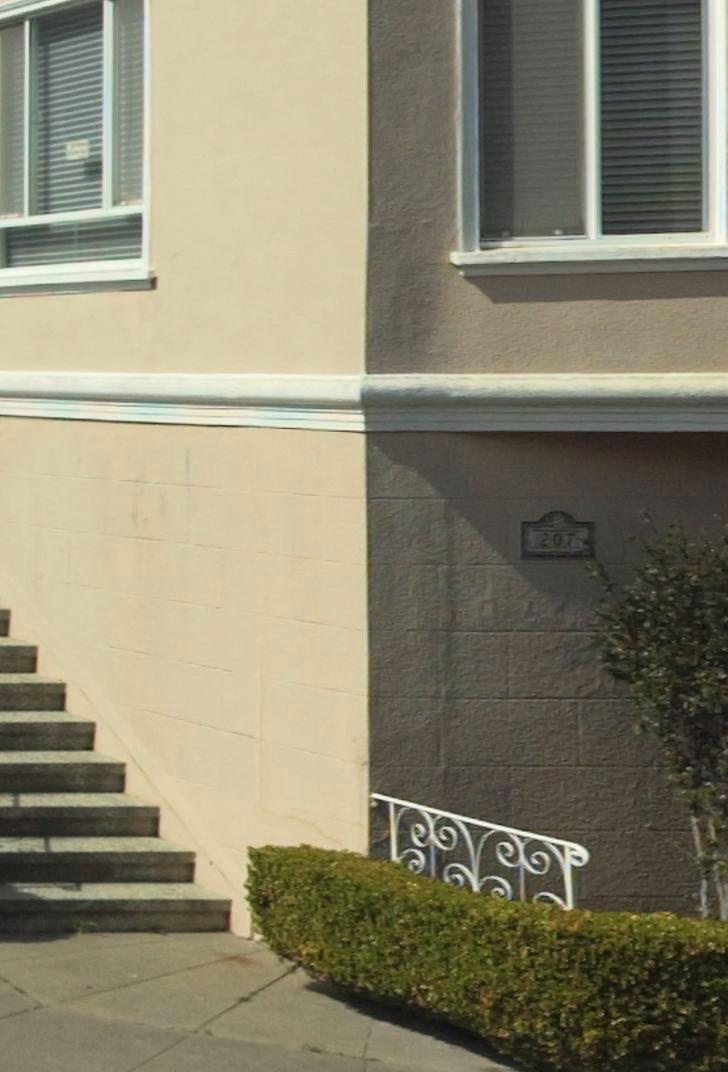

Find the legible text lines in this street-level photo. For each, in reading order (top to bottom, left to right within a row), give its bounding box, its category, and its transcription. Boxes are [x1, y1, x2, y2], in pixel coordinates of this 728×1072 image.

[536, 530, 578, 550] StreetNumber: 207